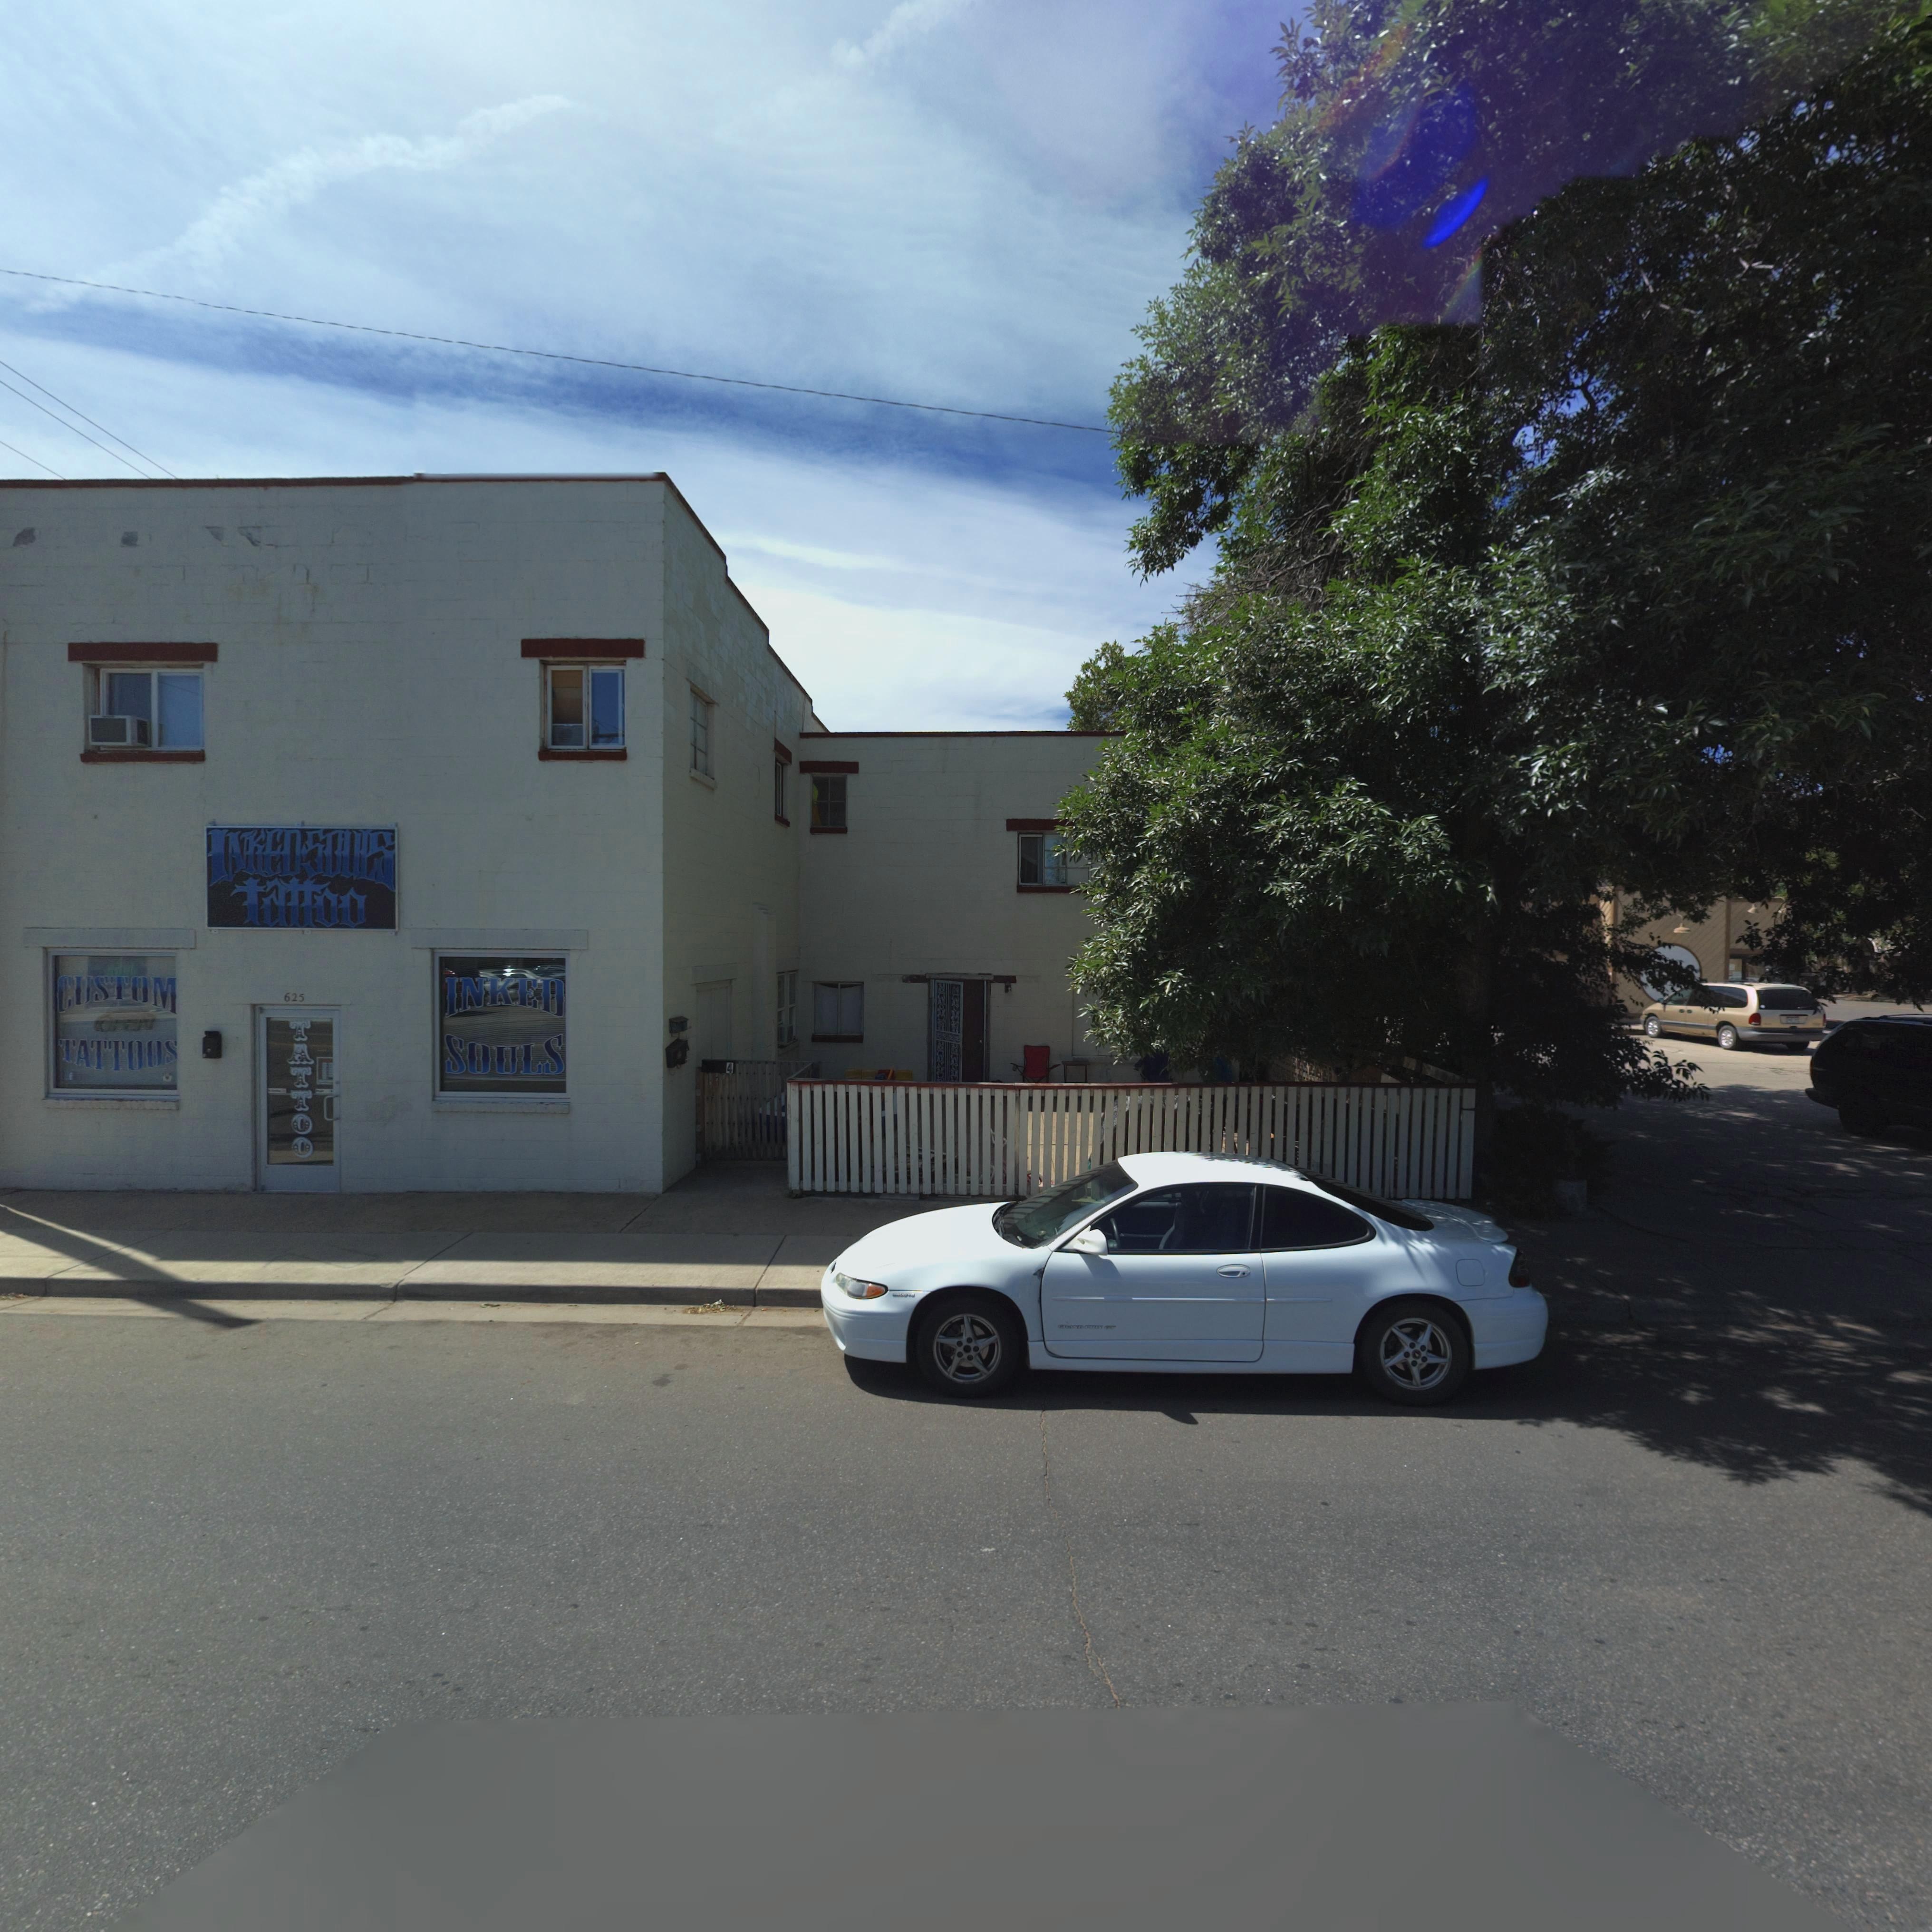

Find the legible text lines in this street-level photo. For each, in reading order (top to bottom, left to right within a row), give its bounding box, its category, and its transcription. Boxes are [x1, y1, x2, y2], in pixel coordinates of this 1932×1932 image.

[205, 827, 396, 895] BusinessName: I**ED*SOU**
[227, 876, 369, 929] BusinessName: TaTTOO
[283, 992, 305, 1003] StreetNumber: 625
[444, 976, 566, 1020] BusinessName: INKED
[286, 1019, 315, 1159] BusinessName: TATTOO
[443, 1032, 566, 1076] BusinessName: SOULS
[726, 1062, 733, 1073] StreetNumber: 4